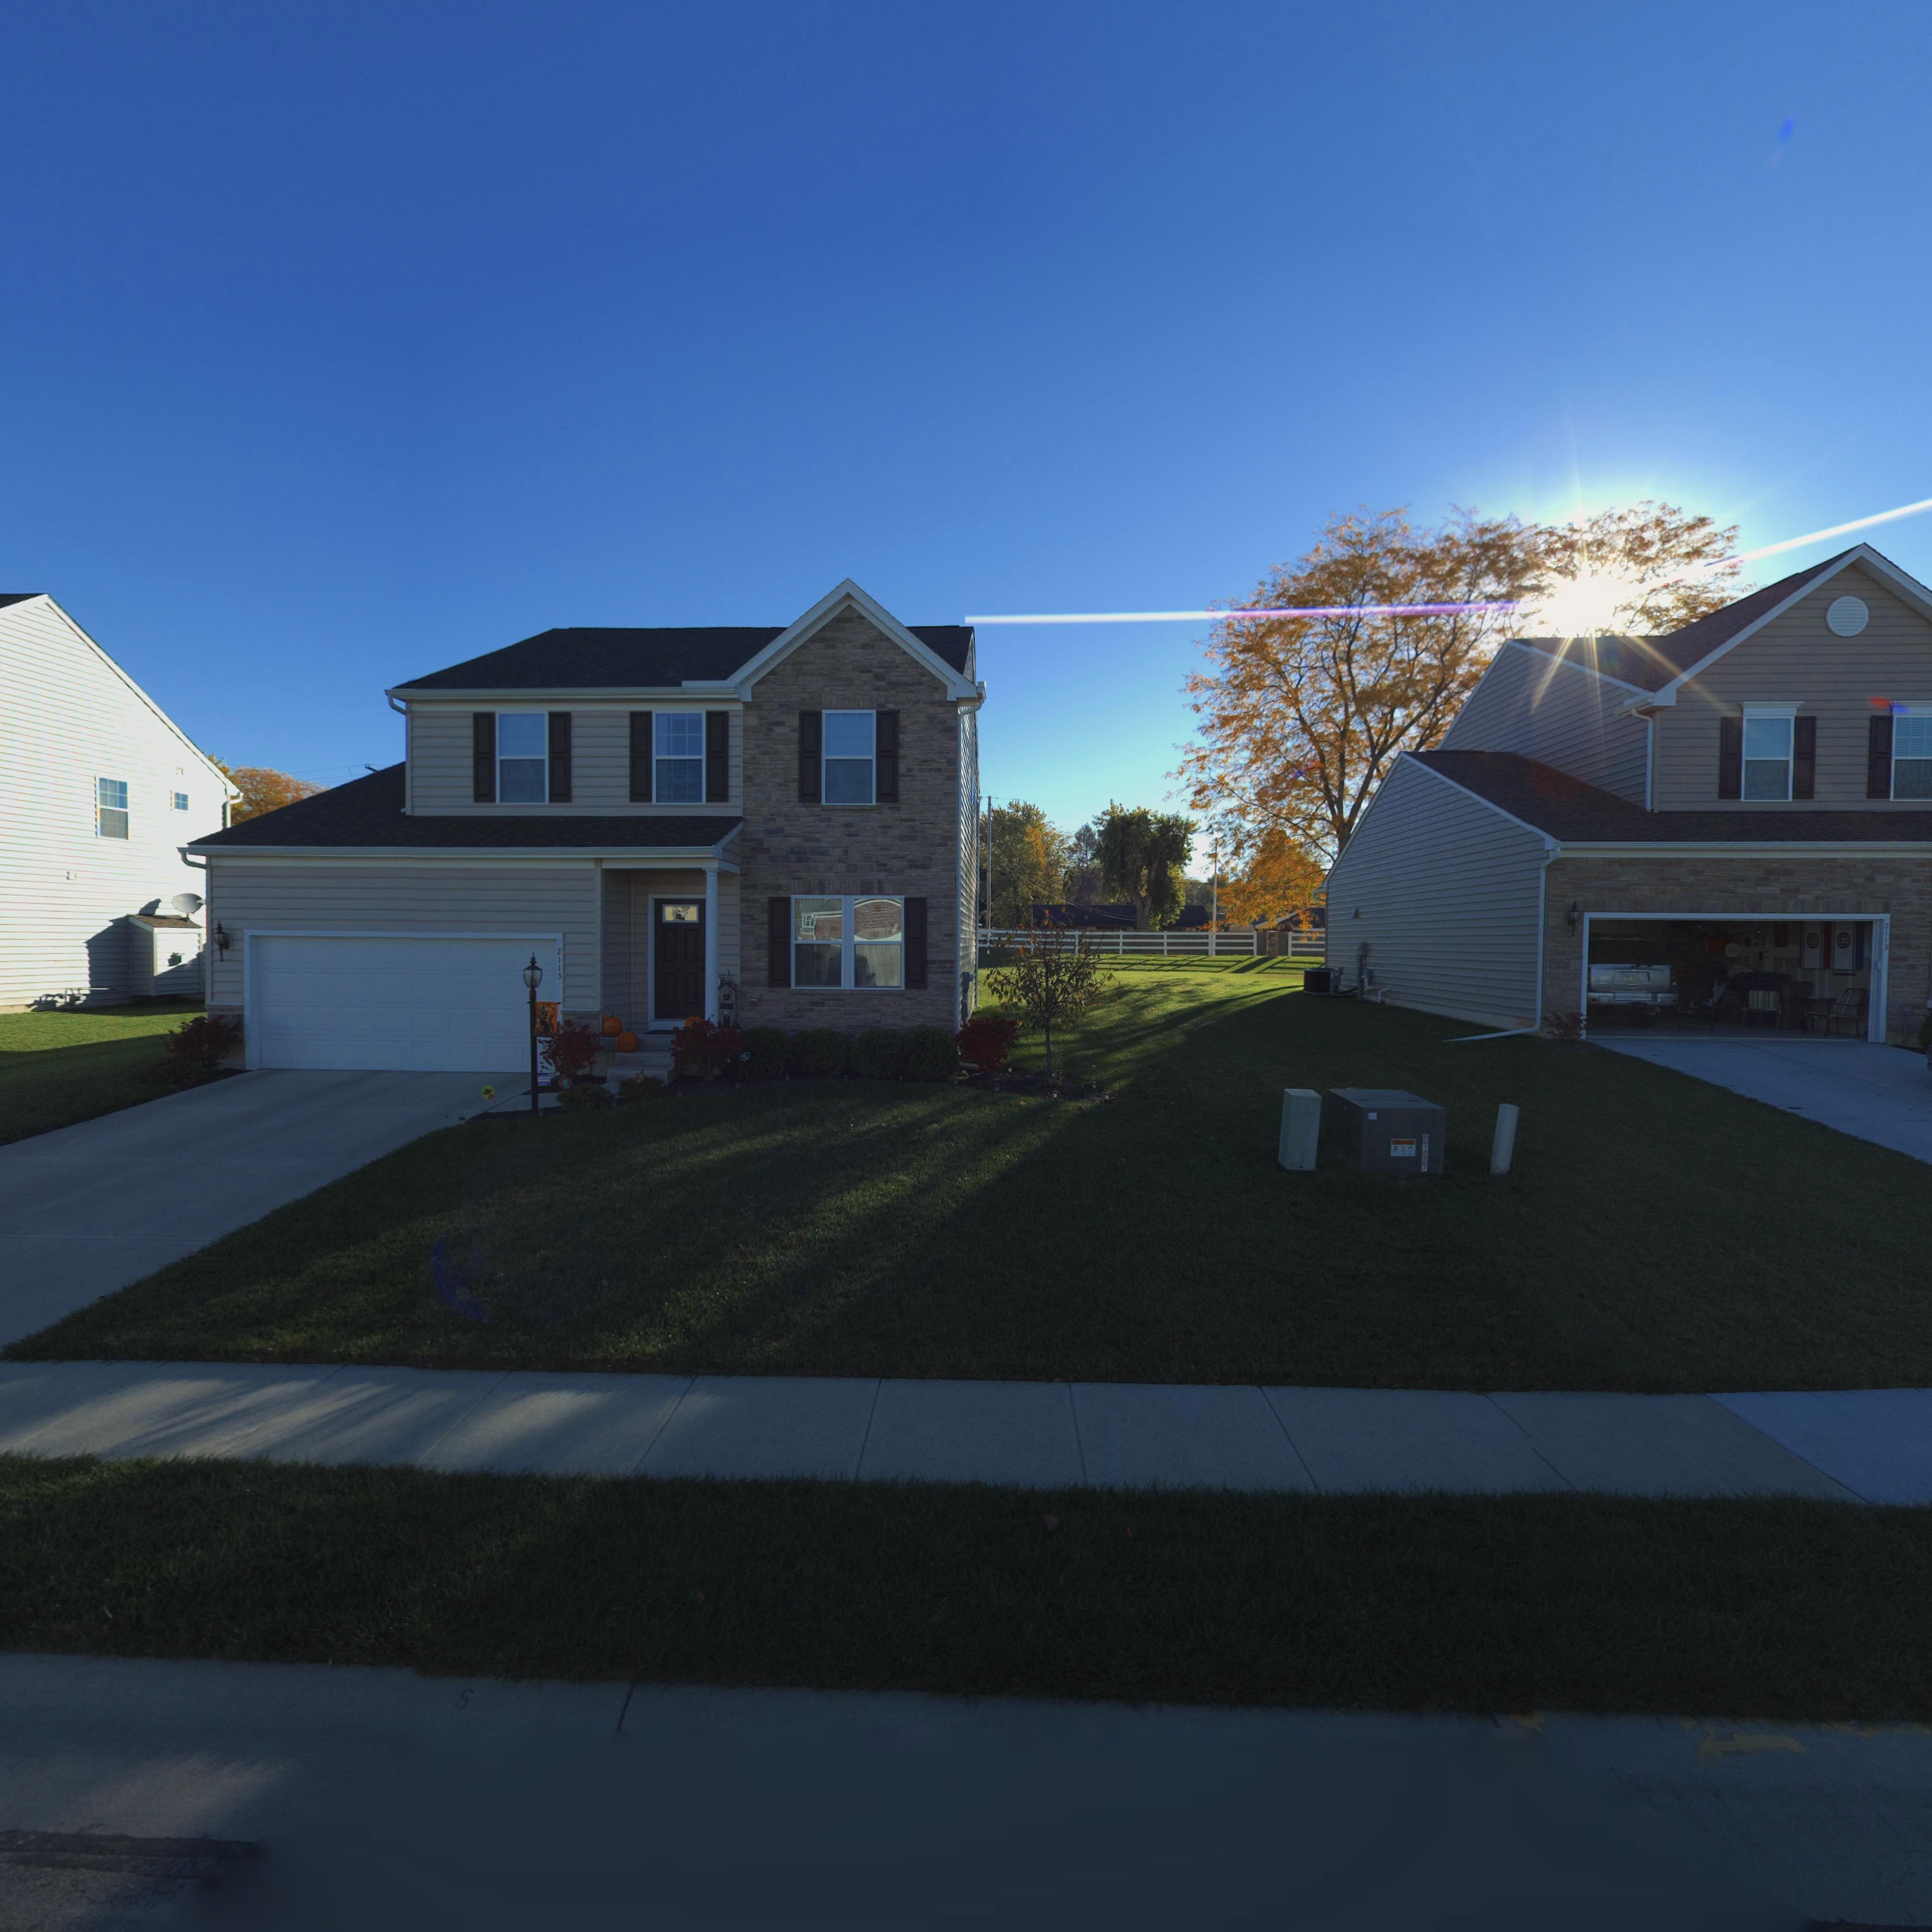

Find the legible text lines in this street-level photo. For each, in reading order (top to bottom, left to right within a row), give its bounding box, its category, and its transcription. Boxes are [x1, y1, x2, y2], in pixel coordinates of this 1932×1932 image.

[1883, 922, 1890, 951] StreetNumber: 211*
[556, 947, 562, 980] StreetNumber: 2115